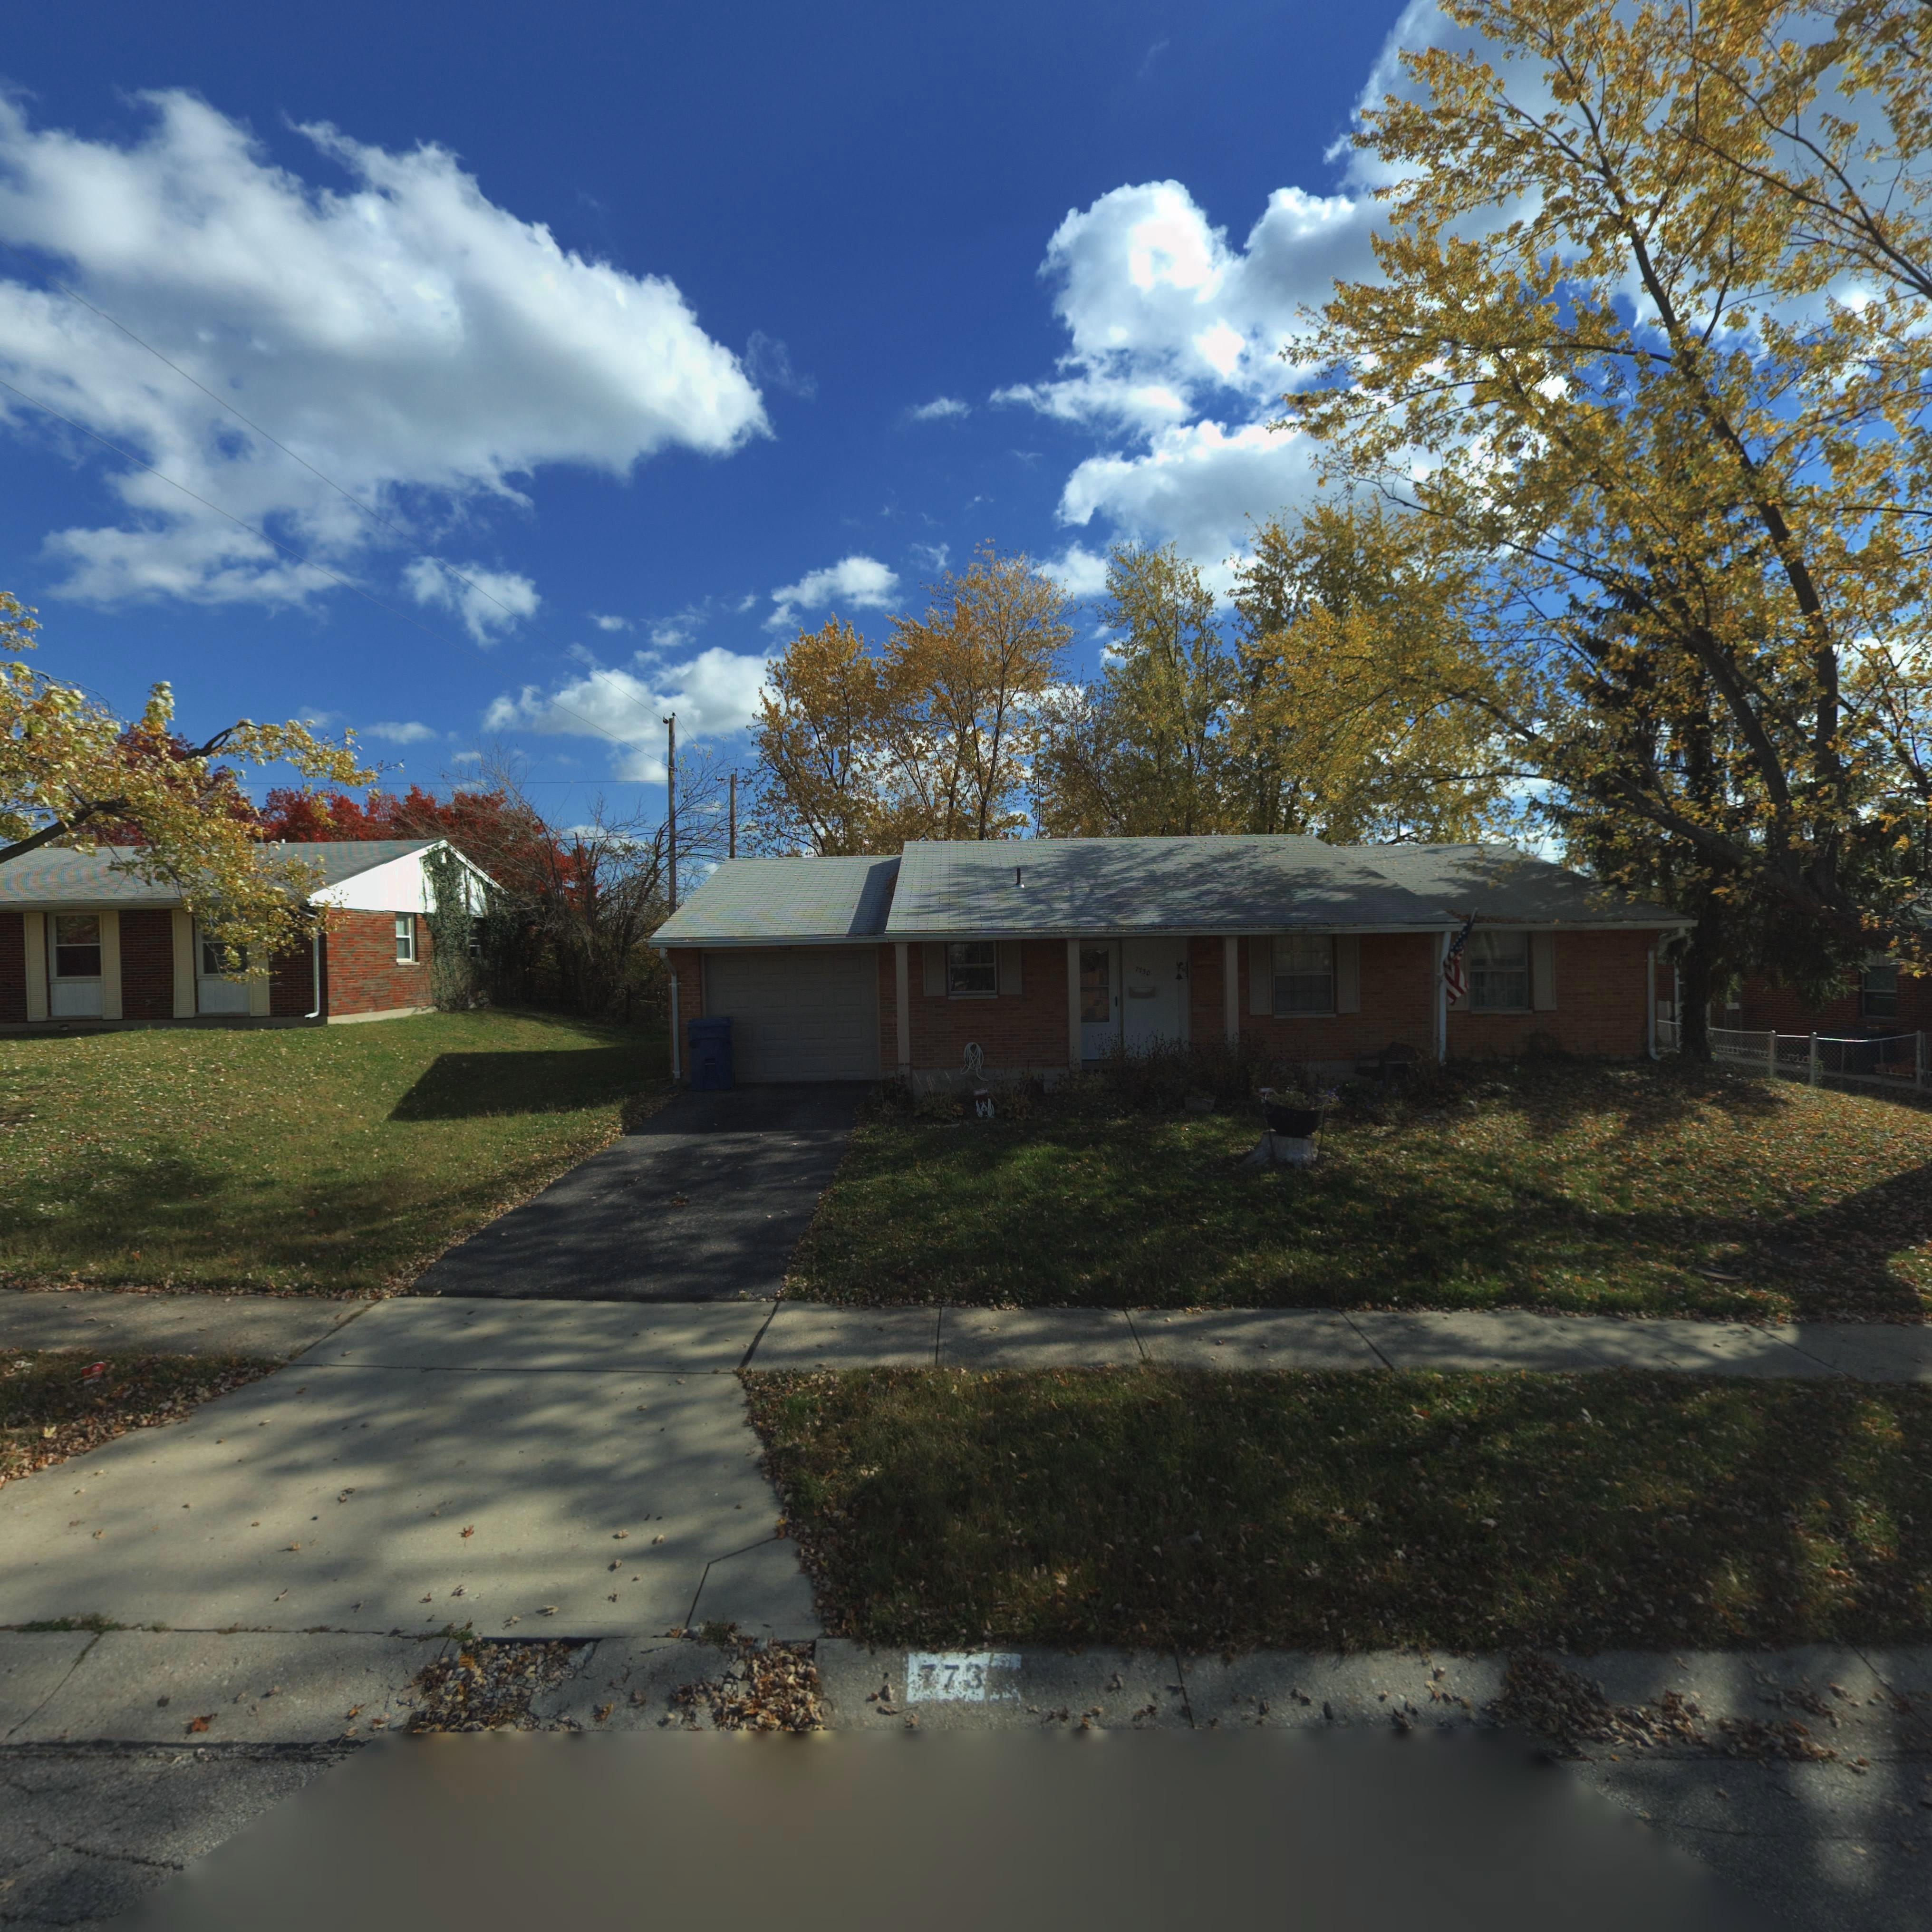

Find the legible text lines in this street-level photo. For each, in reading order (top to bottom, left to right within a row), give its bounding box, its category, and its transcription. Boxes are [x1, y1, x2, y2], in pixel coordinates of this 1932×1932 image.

[1134, 966, 1151, 976] StreetNumber: 7730
[920, 1662, 986, 1691] StreetNumber: 773